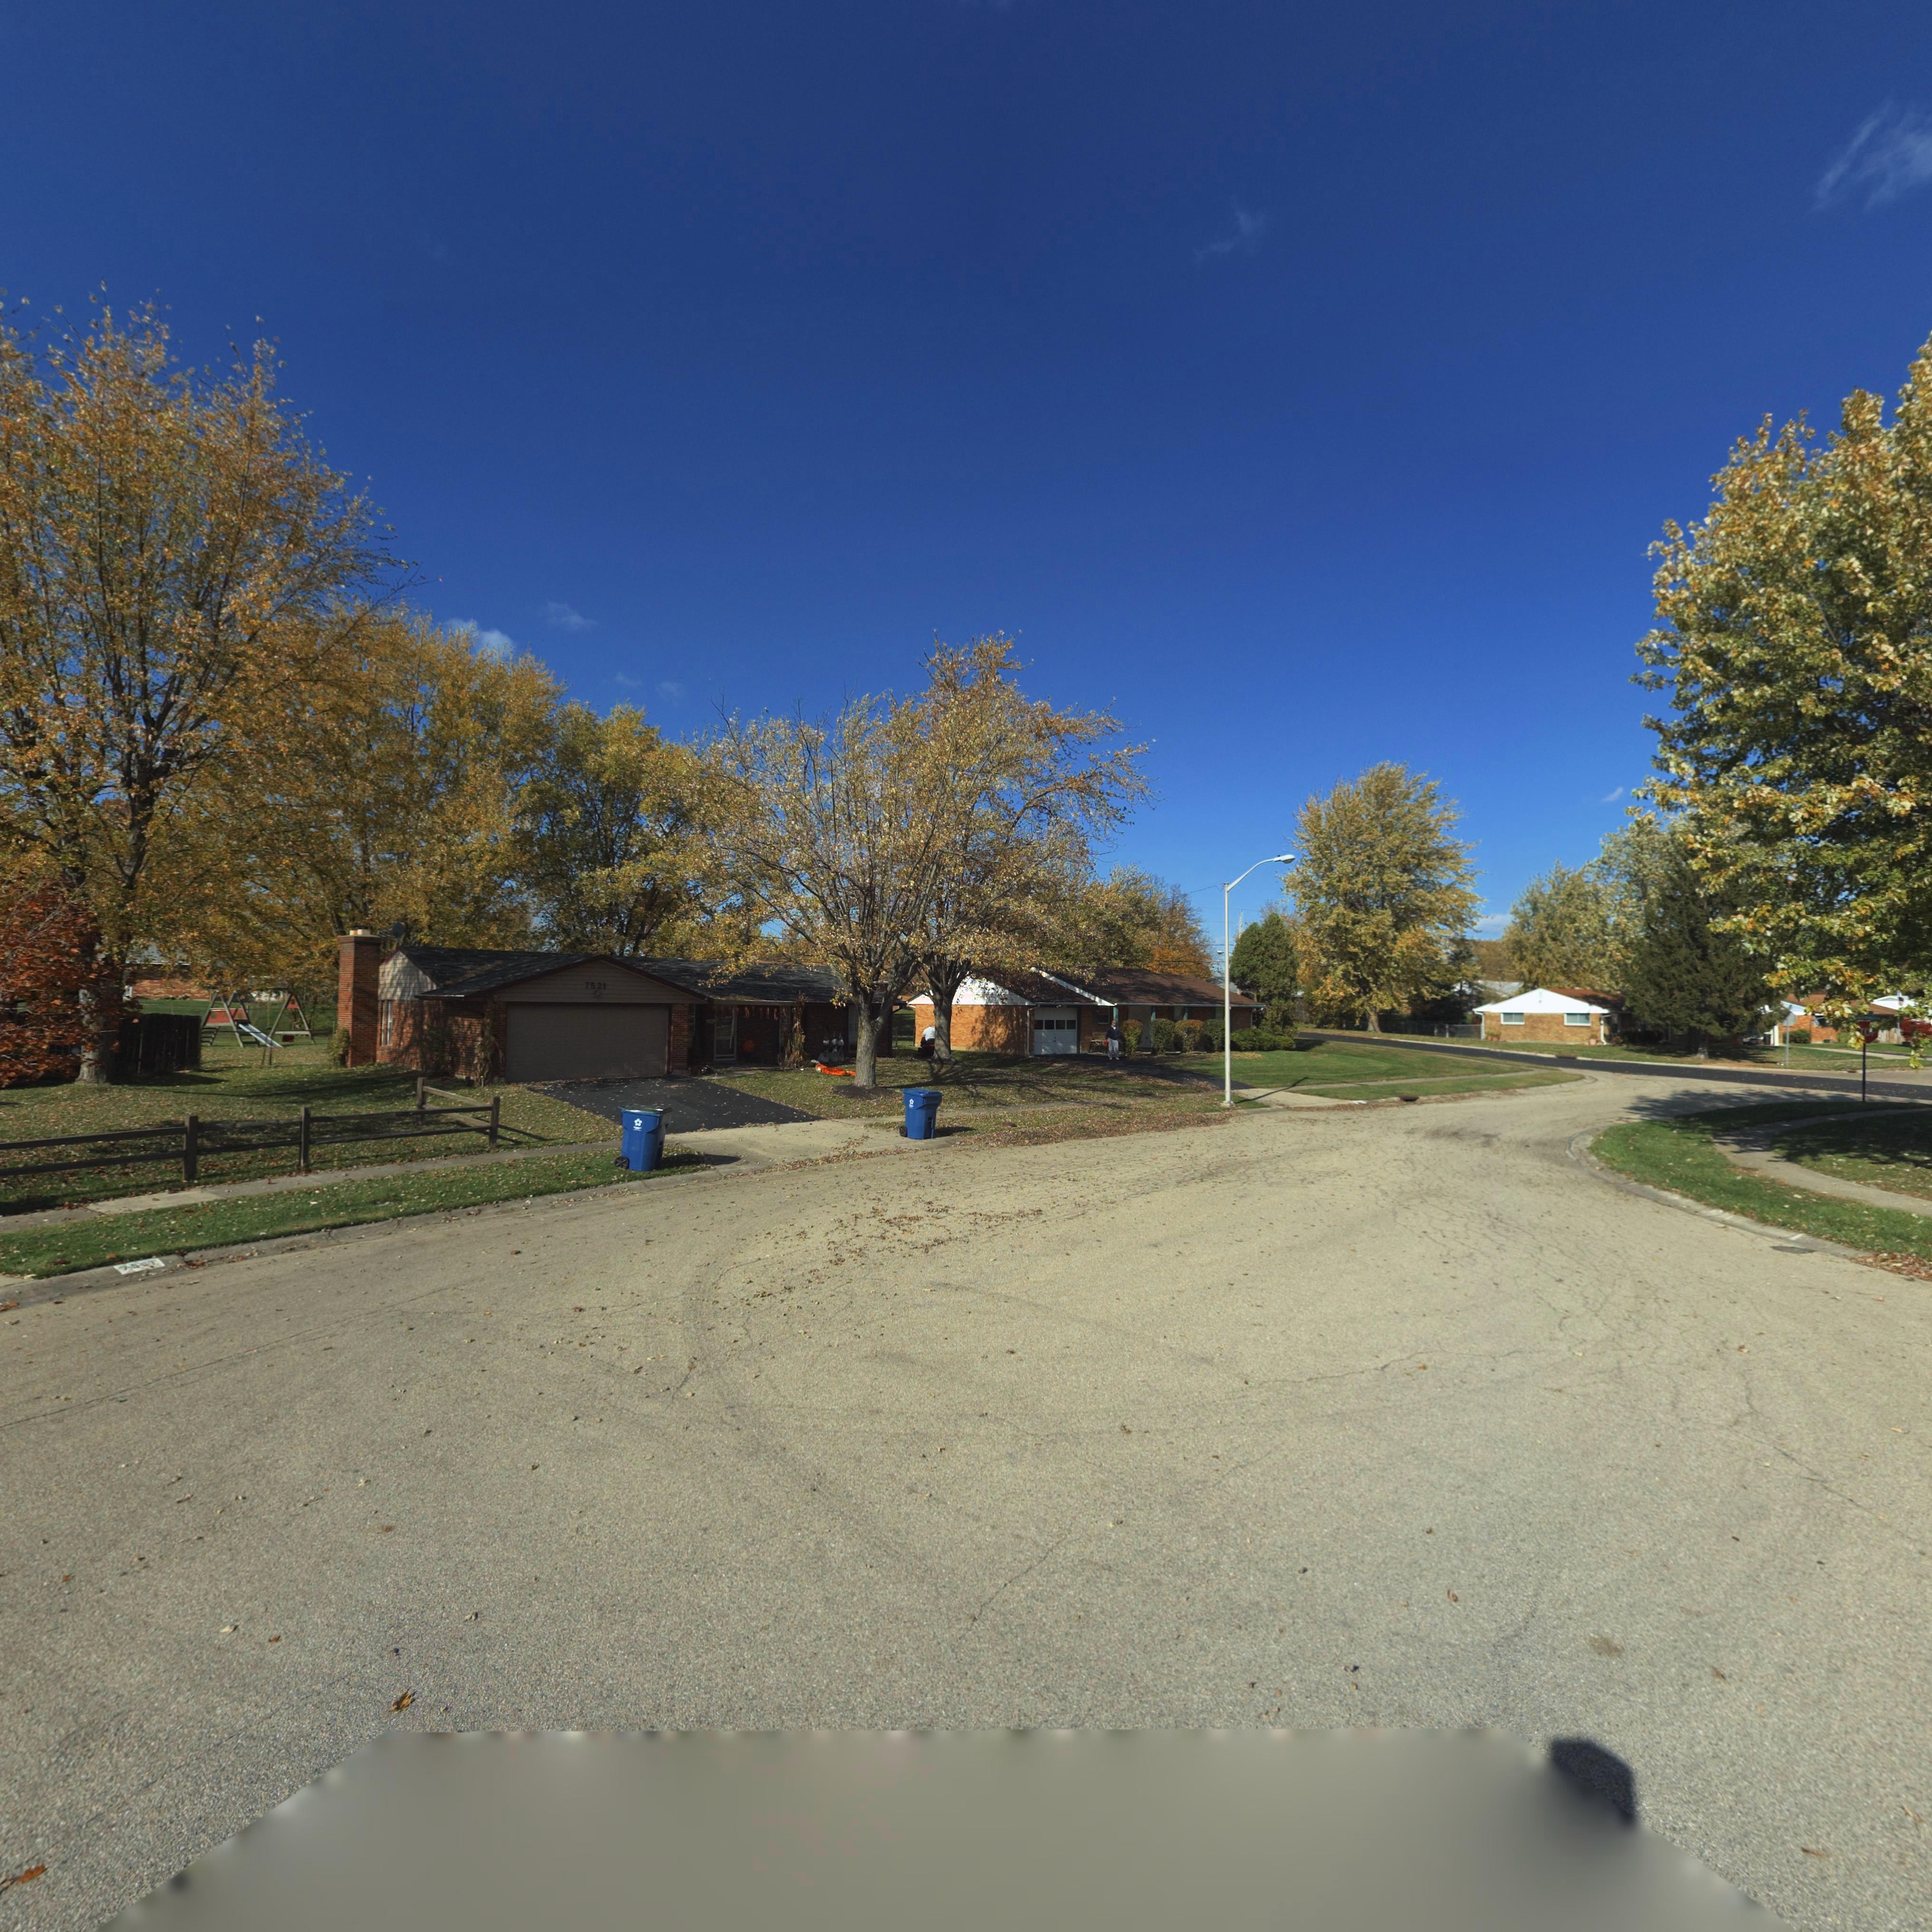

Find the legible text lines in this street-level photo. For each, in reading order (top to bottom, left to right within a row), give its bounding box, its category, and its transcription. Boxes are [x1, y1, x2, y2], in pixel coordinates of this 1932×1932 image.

[584, 981, 607, 991] StreetNumber: 7521